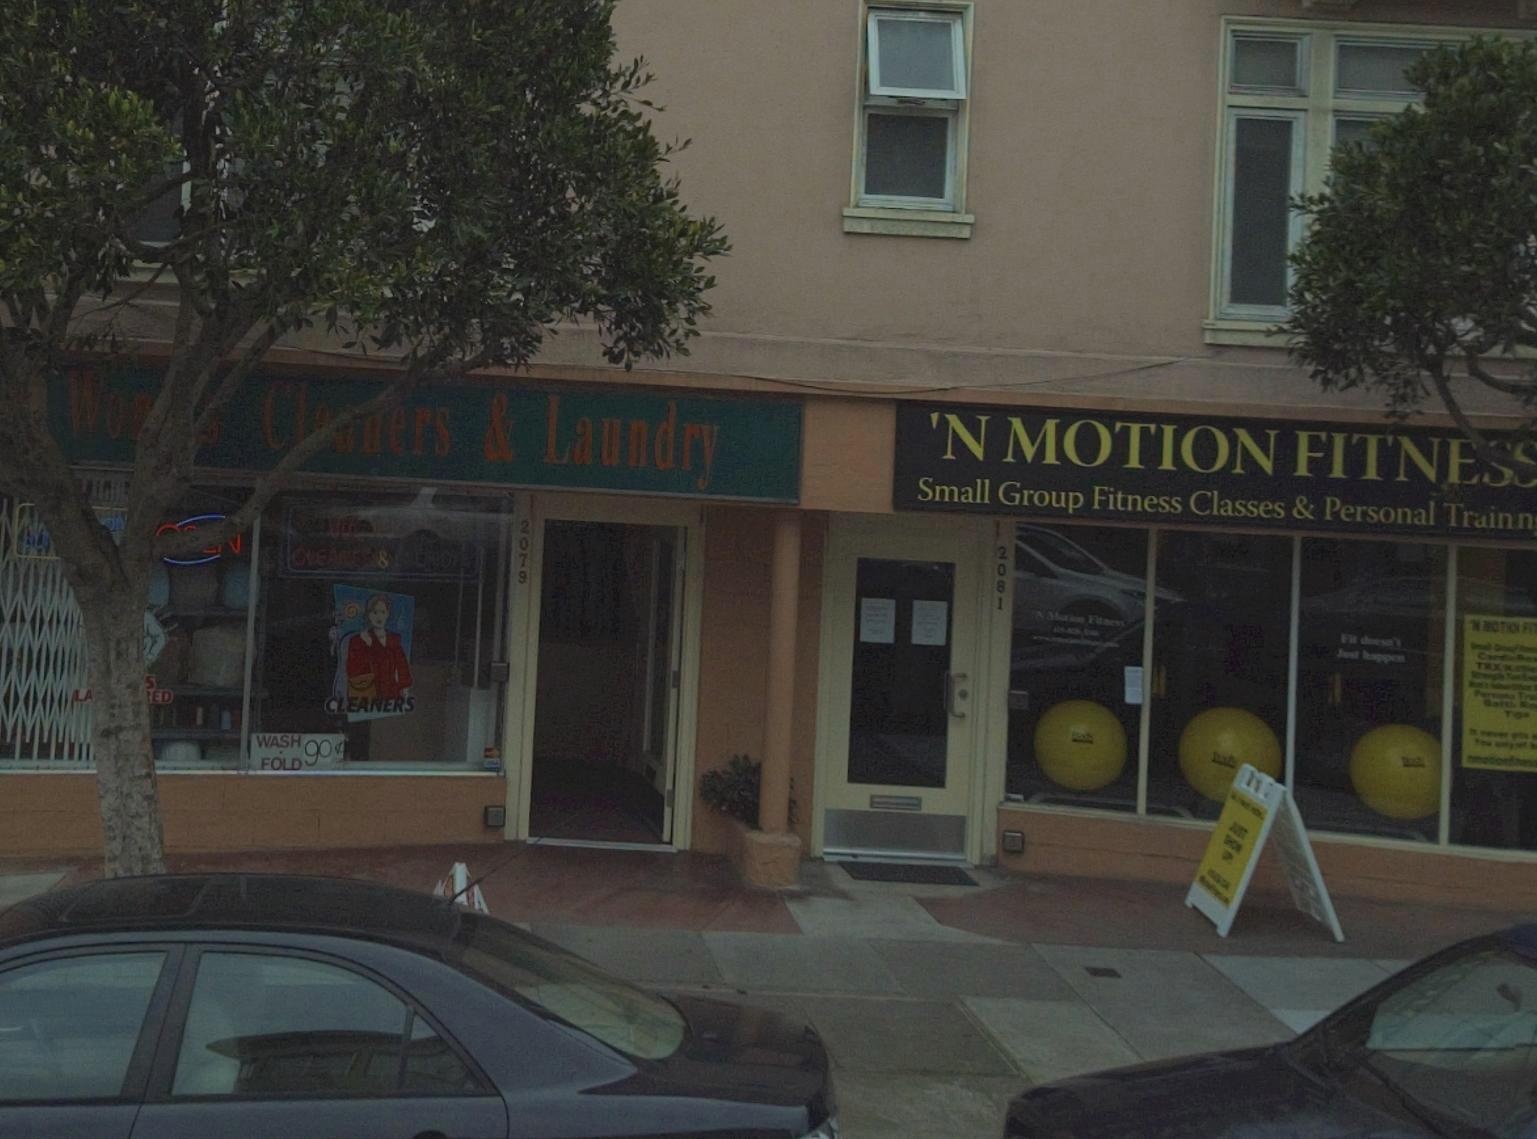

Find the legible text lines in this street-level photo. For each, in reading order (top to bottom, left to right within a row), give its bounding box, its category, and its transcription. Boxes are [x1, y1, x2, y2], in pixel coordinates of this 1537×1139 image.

[61, 361, 721, 492] BusinessName: Wo*** Cl**ners & Laundry
[927, 408, 1480, 488] BusinessName: 'N MOTION FITNE
[916, 474, 1534, 534] None: Small Group Fitness Classes & Personal Train n
[324, 511, 378, 545] None: WO
[288, 543, 390, 571] None: CLEAN** &
[516, 518, 530, 586] StreetNumber: 2079
[994, 544, 1009, 613] StreetNumber: 2081
[80, 685, 96, 703] None: A
[151, 688, 175, 706] None: ED
[323, 693, 419, 716] None: CLEANERS
[254, 733, 303, 749] None: WASH
[259, 755, 303, 772] None: FOLD
[303, 737, 334, 768] None: go